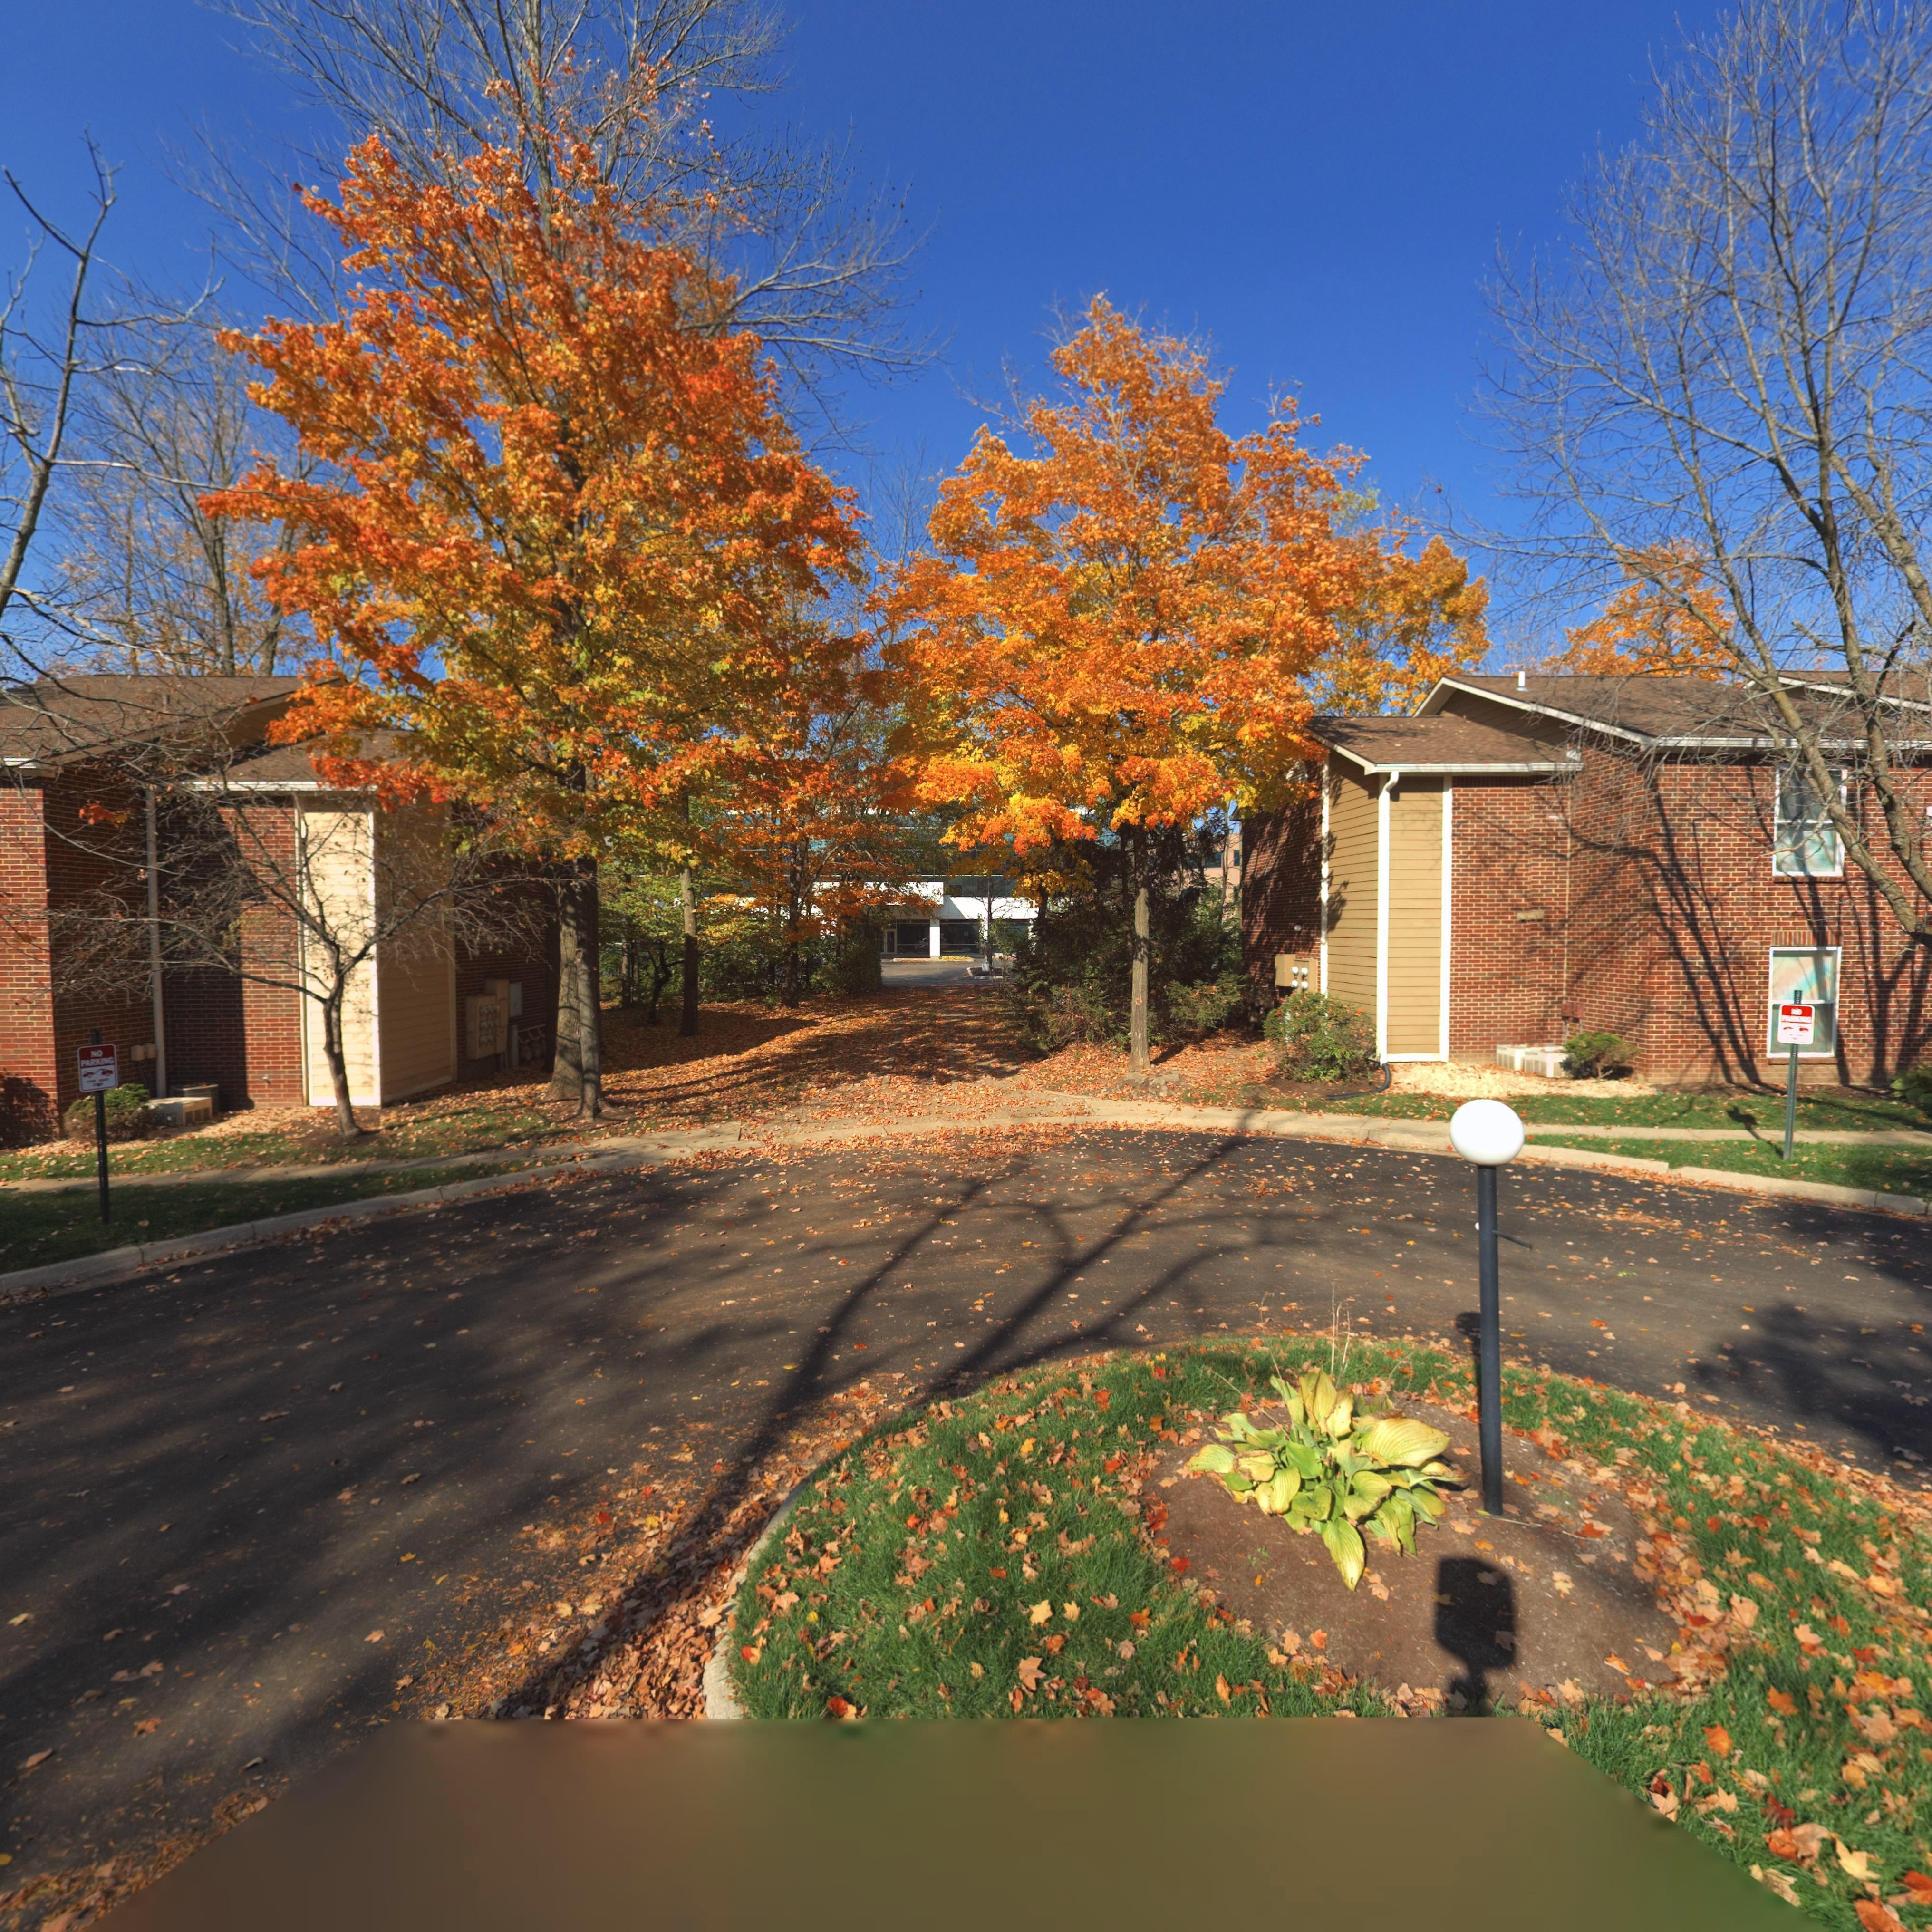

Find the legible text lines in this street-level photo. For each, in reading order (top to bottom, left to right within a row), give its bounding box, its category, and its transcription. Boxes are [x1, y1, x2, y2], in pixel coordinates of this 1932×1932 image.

[90, 1048, 104, 1059] None: *O
[79, 1055, 115, 1068] None: PARKING